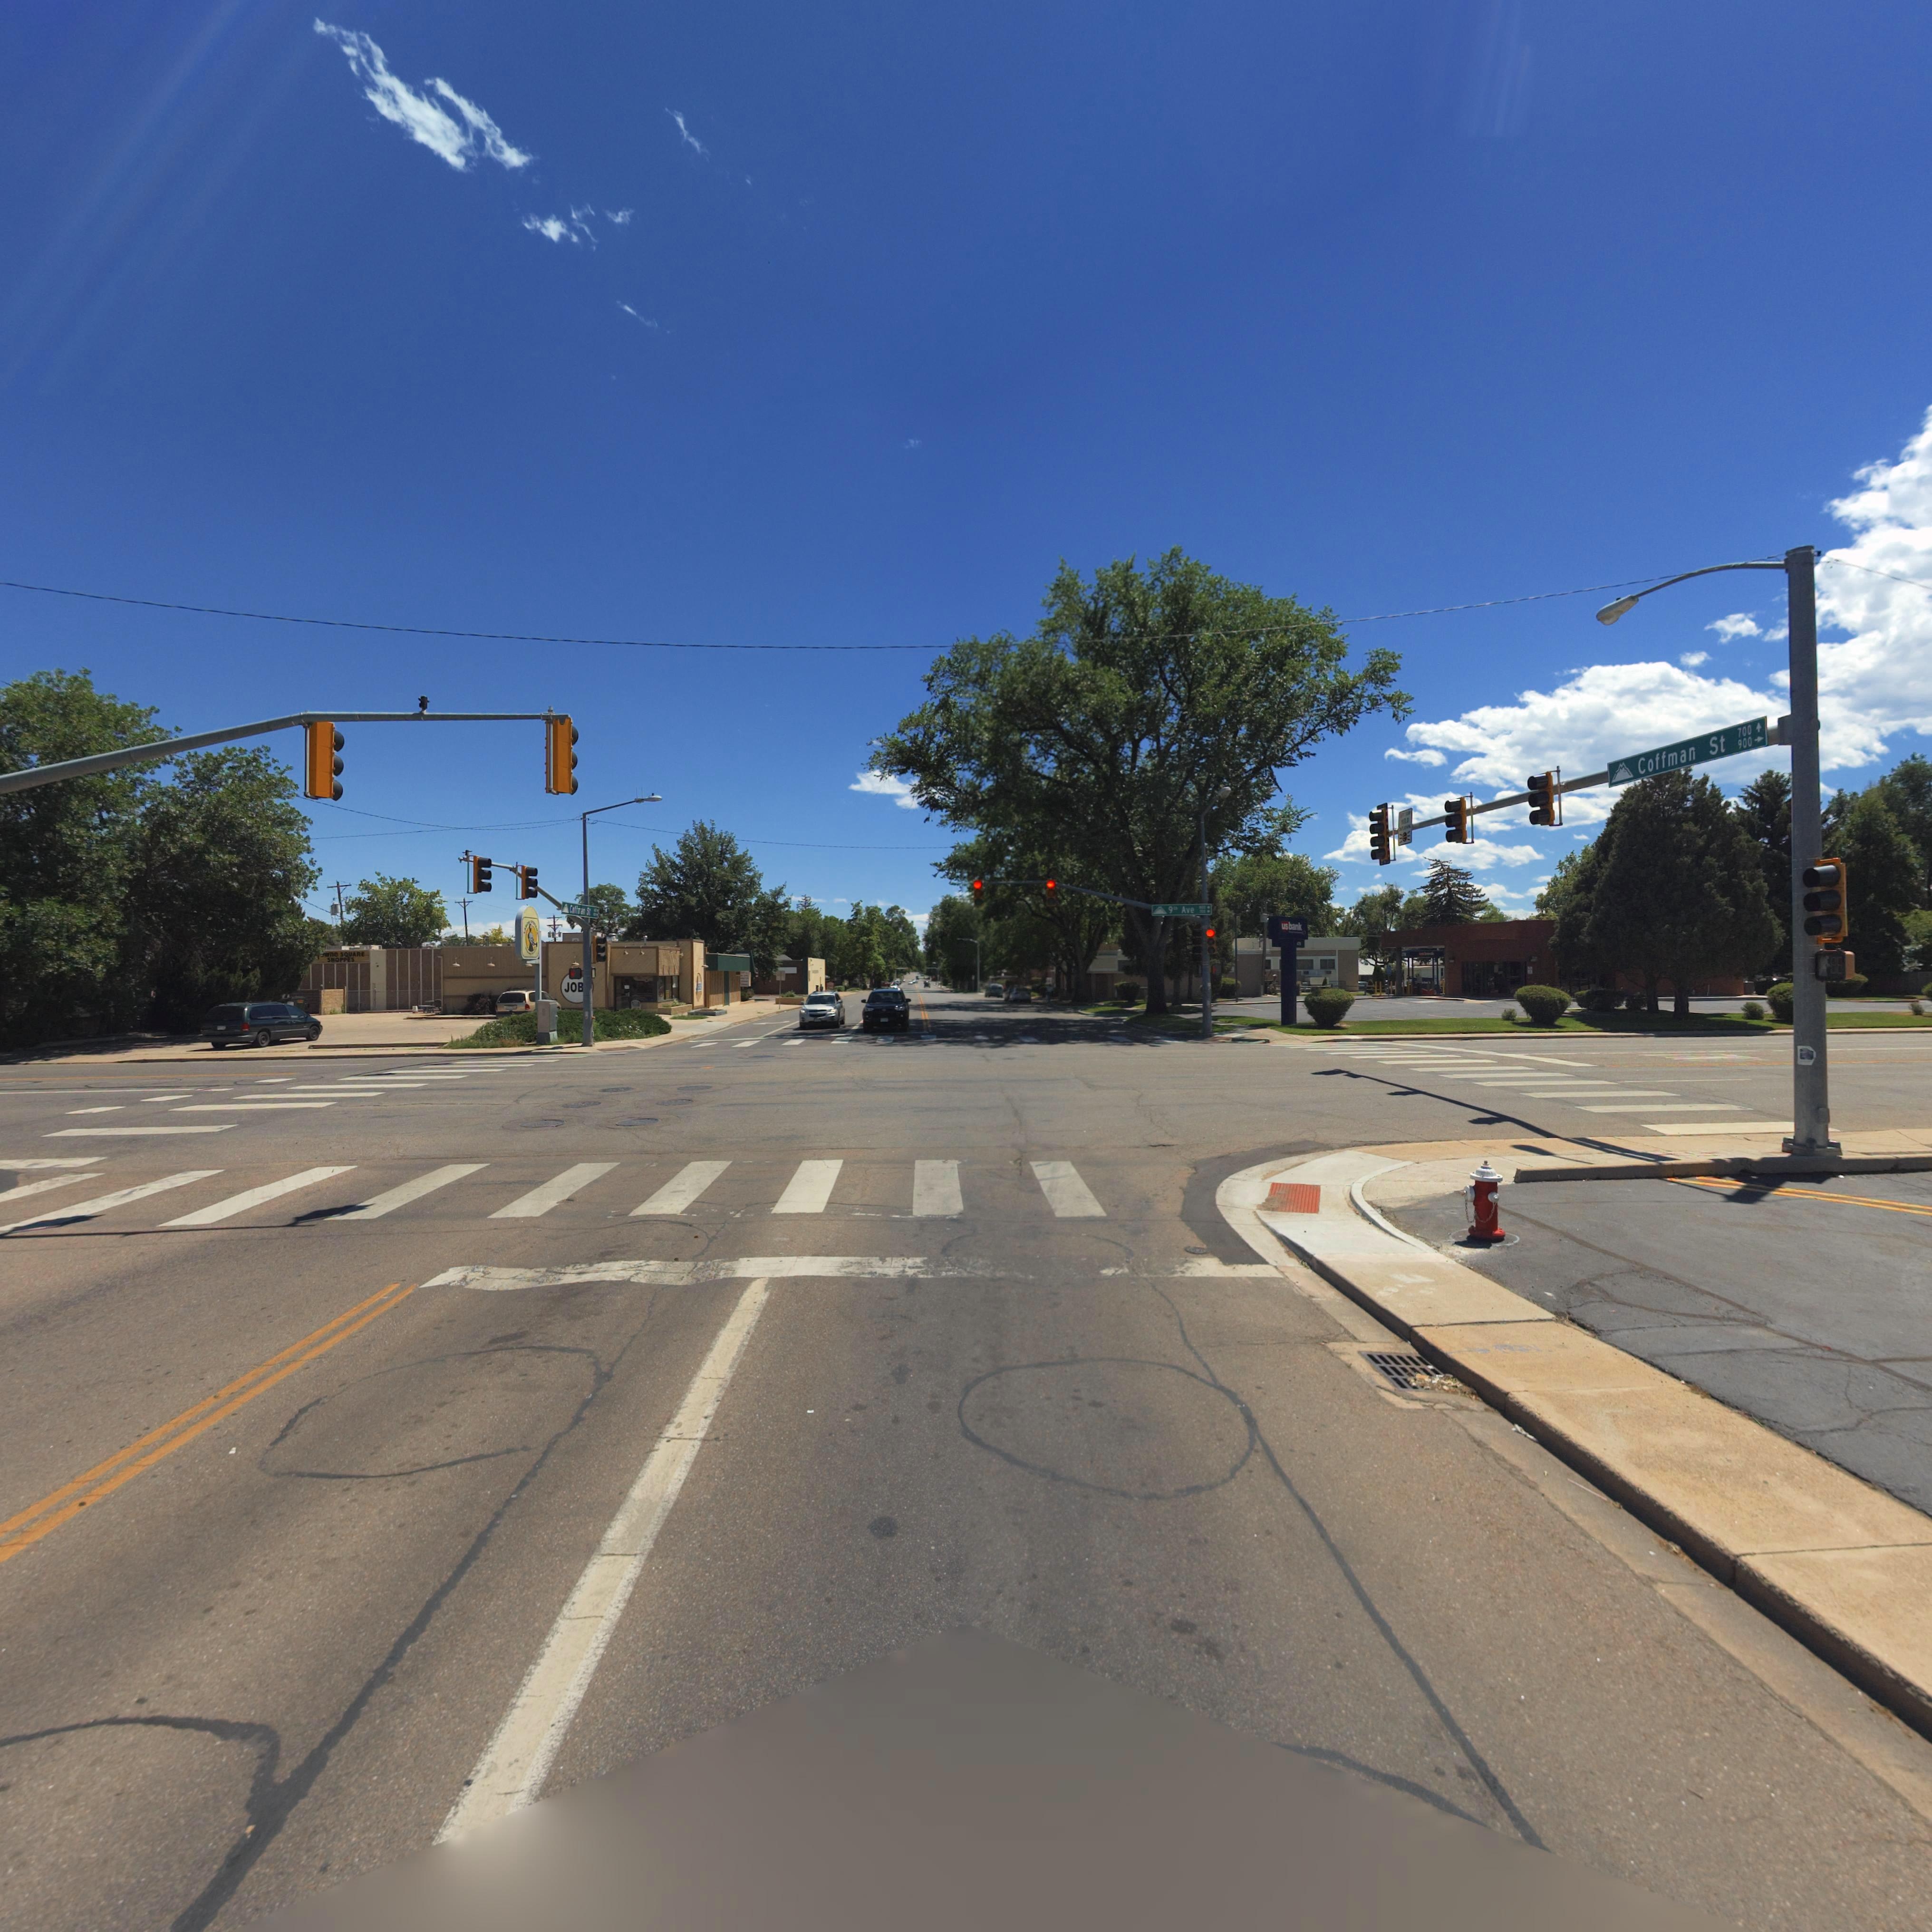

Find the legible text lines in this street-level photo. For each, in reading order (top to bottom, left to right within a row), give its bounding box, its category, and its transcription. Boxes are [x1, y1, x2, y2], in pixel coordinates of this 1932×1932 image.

[1737, 724, 1752, 738] StreetNumberRange: 700
[1737, 735, 1764, 749] StreetNumberRange: 900 ->
[1637, 734, 1726, 775] StreetName: Coffman St
[569, 904, 591, 916] StreetName: Coffman St
[1168, 906, 1195, 914] StreetName: 9th Ave
[1198, 905, 1206, 909] StreetNumberRange: 800
[1199, 909, 1210, 913] StreetNumberRange: 700 ->
[1281, 921, 1302, 930] BusinessName: usbank
[1419, 951, 1434, 956] BusinessName: usbank